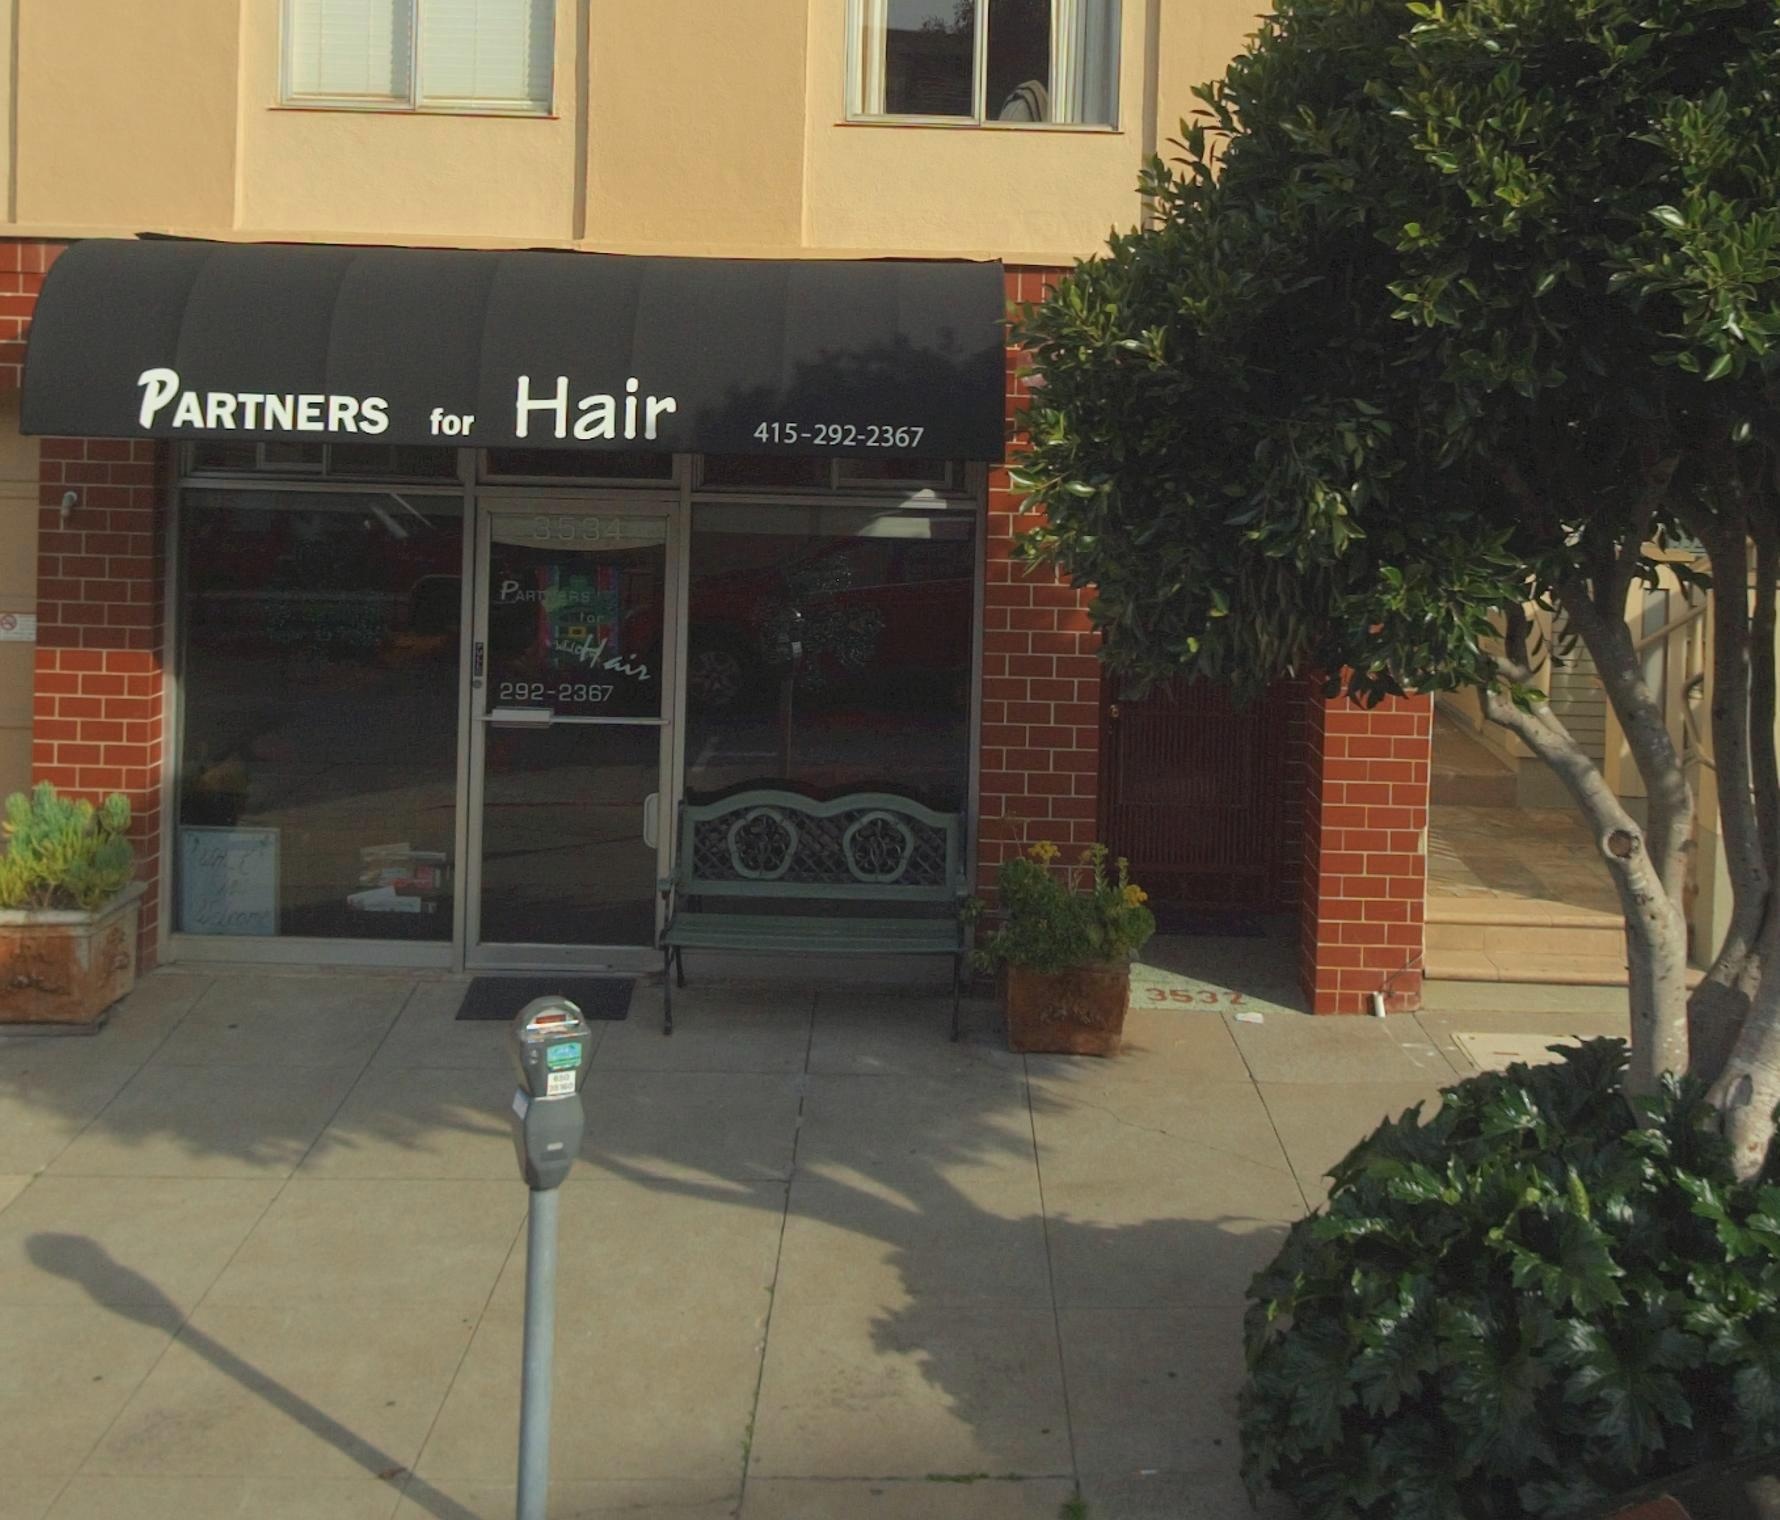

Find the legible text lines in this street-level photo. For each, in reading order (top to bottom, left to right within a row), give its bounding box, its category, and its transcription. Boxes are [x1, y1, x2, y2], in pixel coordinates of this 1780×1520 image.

[129, 363, 686, 446] BusinessName: PARTNERS for Hair
[749, 417, 929, 451] None: 415-292-2367
[531, 514, 625, 544] StreetNumber: 3534
[495, 575, 595, 606] BusinessName: PART*eRS
[475, 641, 484, 671] None: PULL
[573, 628, 659, 686] BusinessName: Hair
[497, 679, 619, 704] None: 292-2367
[1140, 986, 1252, 1007] StreetNumber: 3532